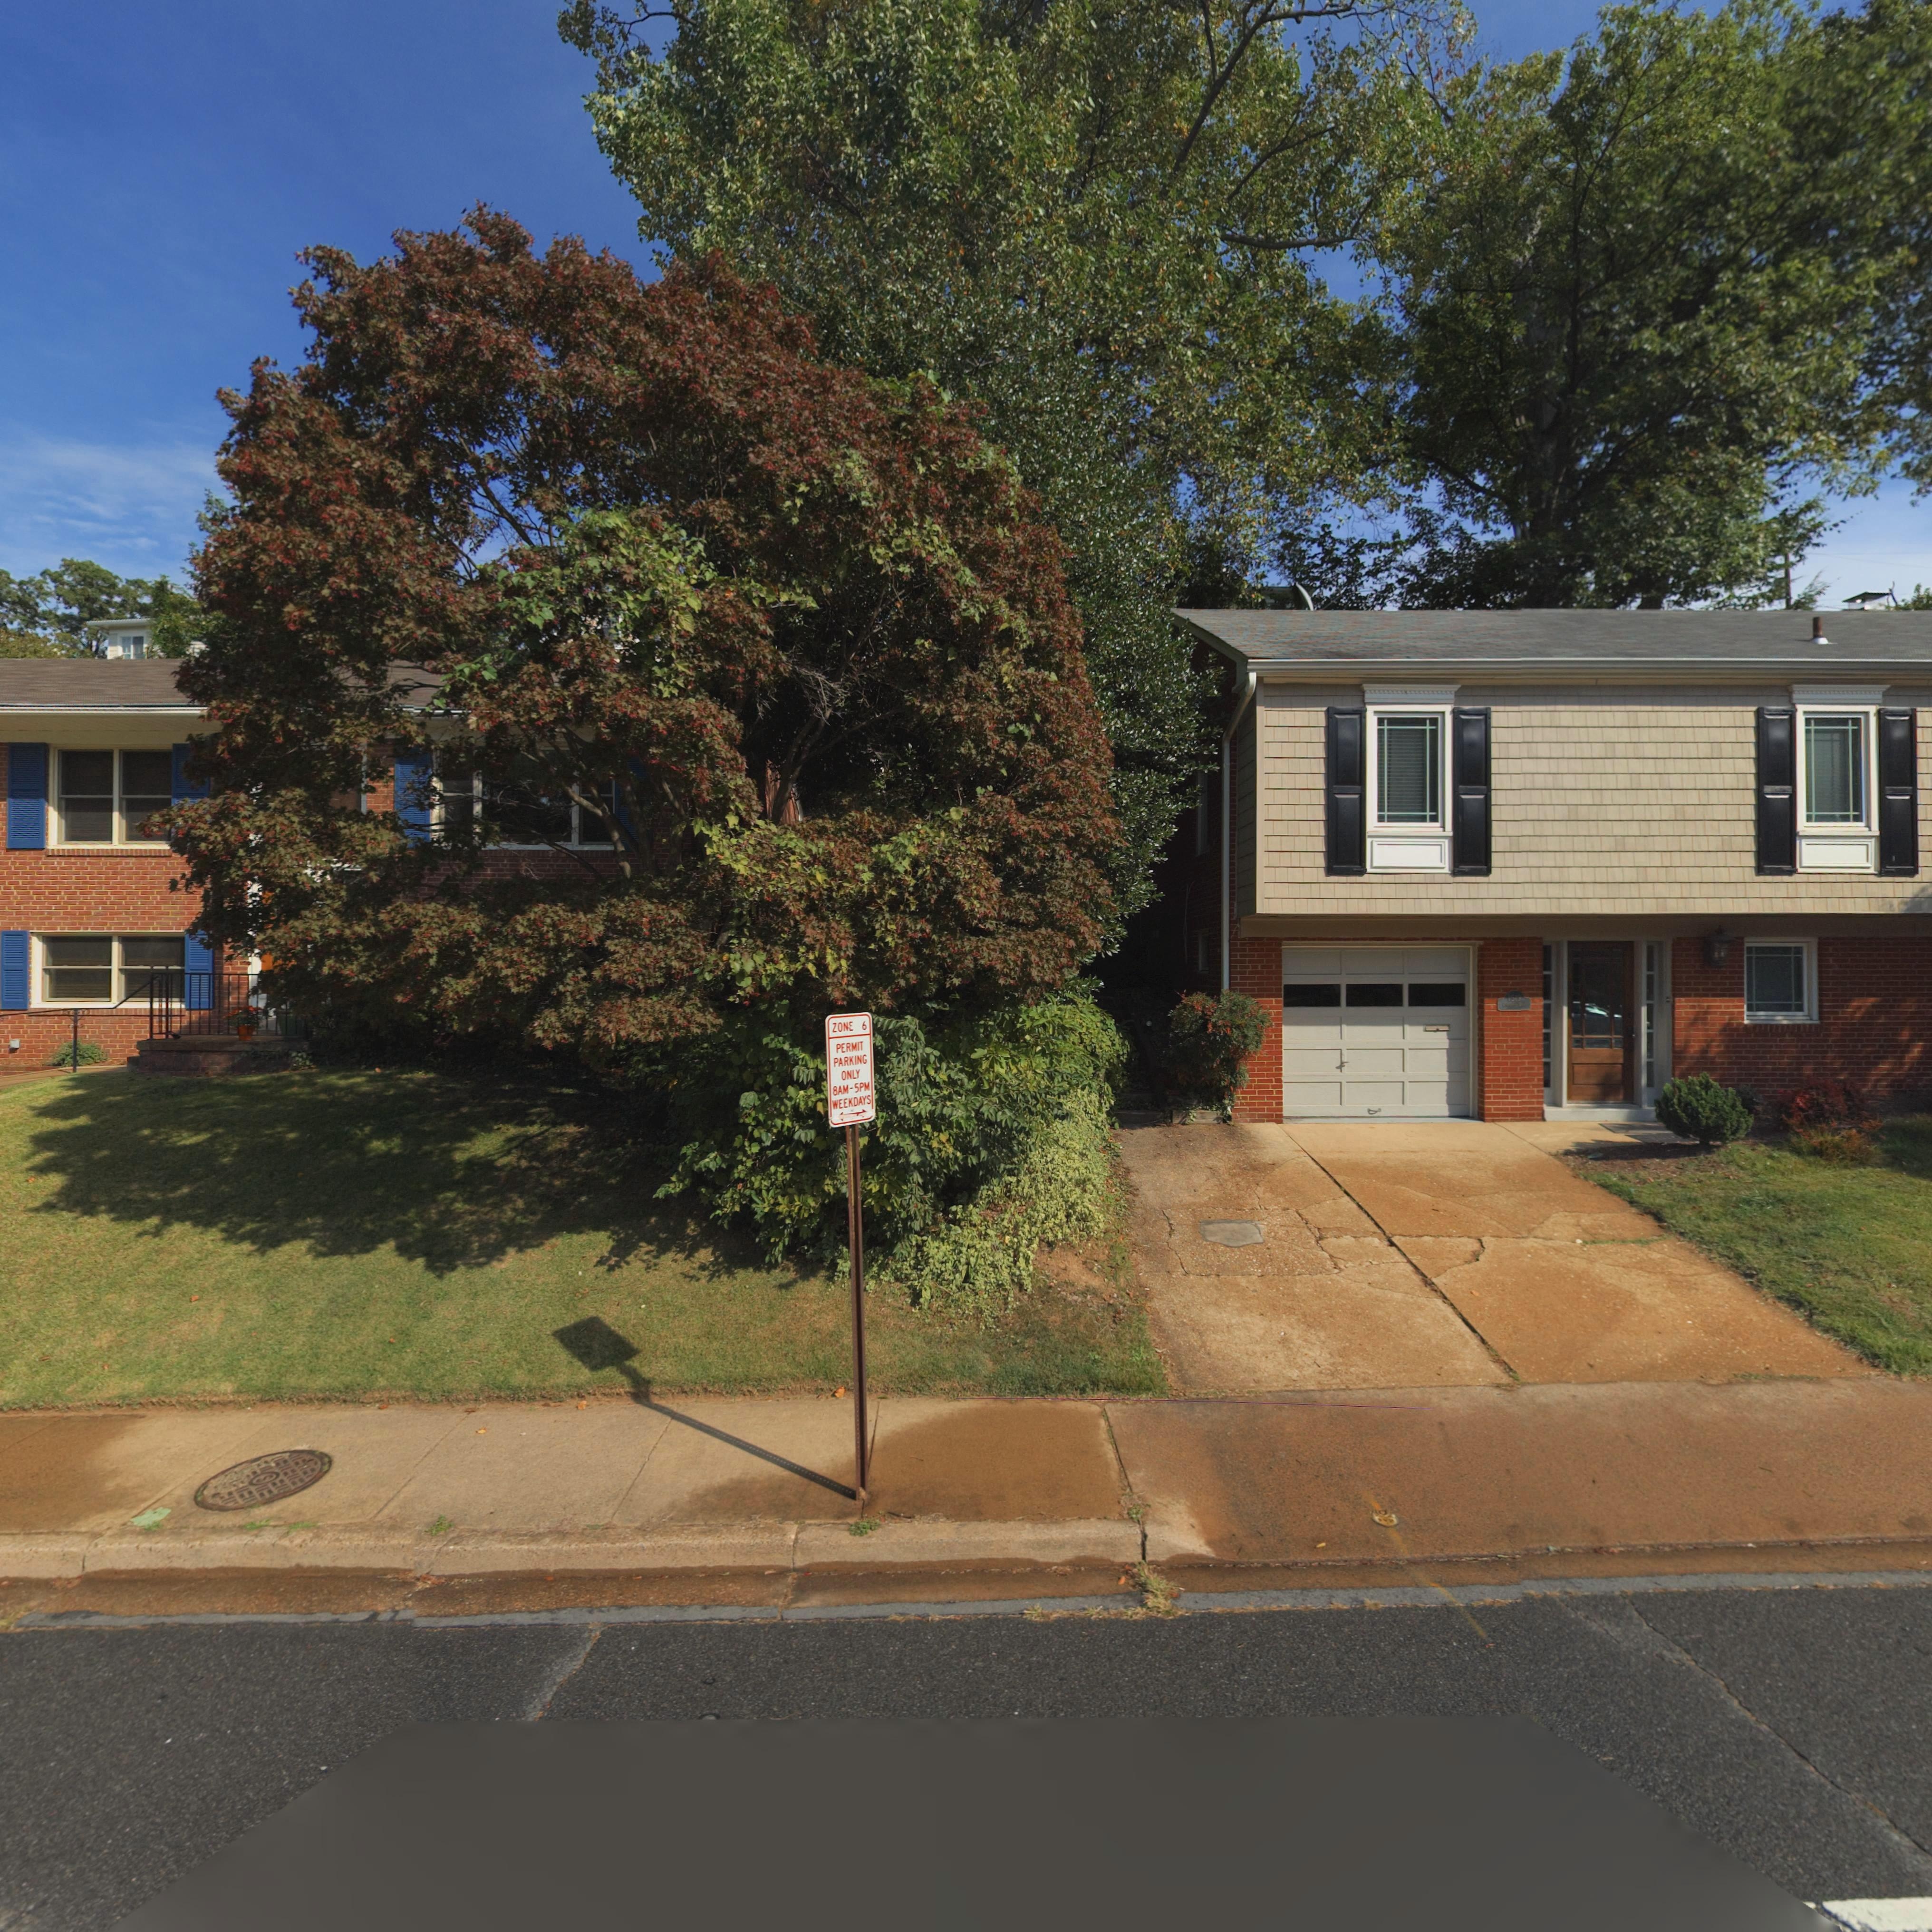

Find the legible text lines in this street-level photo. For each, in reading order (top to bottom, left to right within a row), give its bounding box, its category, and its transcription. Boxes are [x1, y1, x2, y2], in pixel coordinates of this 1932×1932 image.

[1506, 993, 1524, 1003] StreetNumber: 1519
[831, 1019, 869, 1034] None: ZONE 6
[834, 1039, 866, 1055] None: PERMIT
[832, 1052, 869, 1070] None: PARKING
[840, 1066, 862, 1082] None: ONLY
[831, 1080, 871, 1098] None: 8AM-5PM
[830, 1092, 873, 1111] None: WEEKDAYS